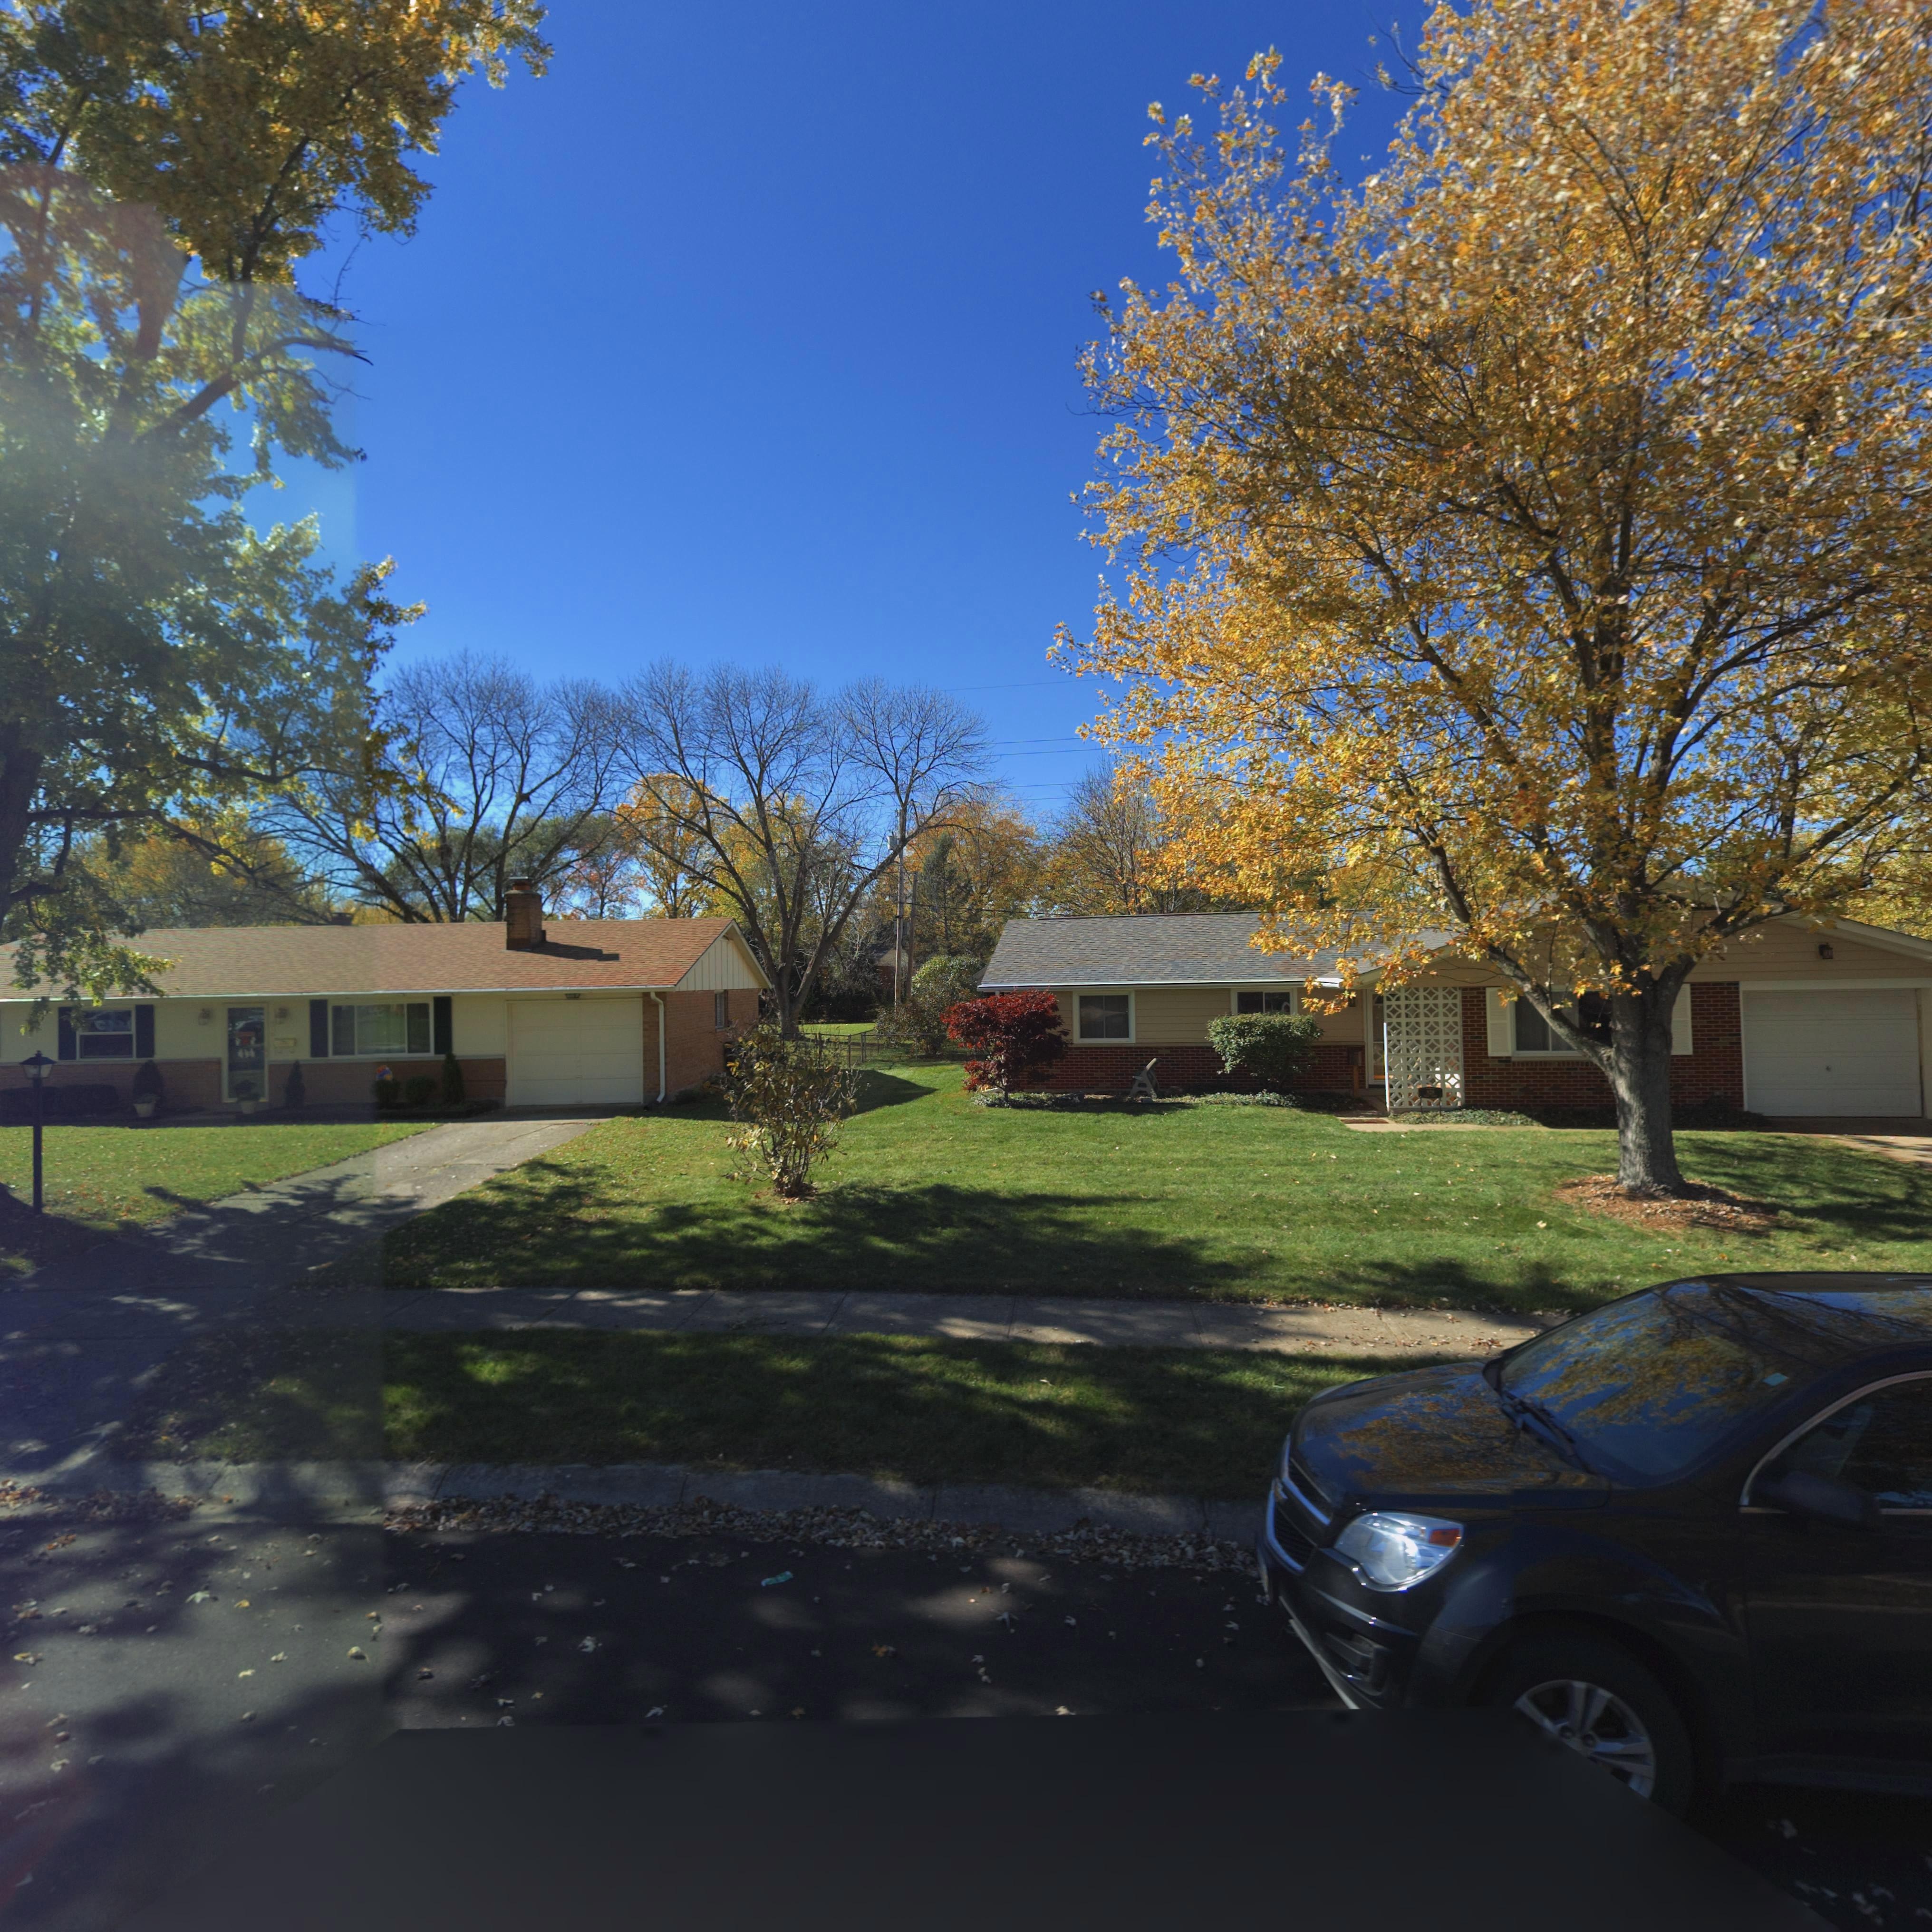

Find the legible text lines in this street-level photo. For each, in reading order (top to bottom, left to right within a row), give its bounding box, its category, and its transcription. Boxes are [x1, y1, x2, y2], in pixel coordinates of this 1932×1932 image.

[1426, 1089, 1435, 1095] StreetNumber: 828